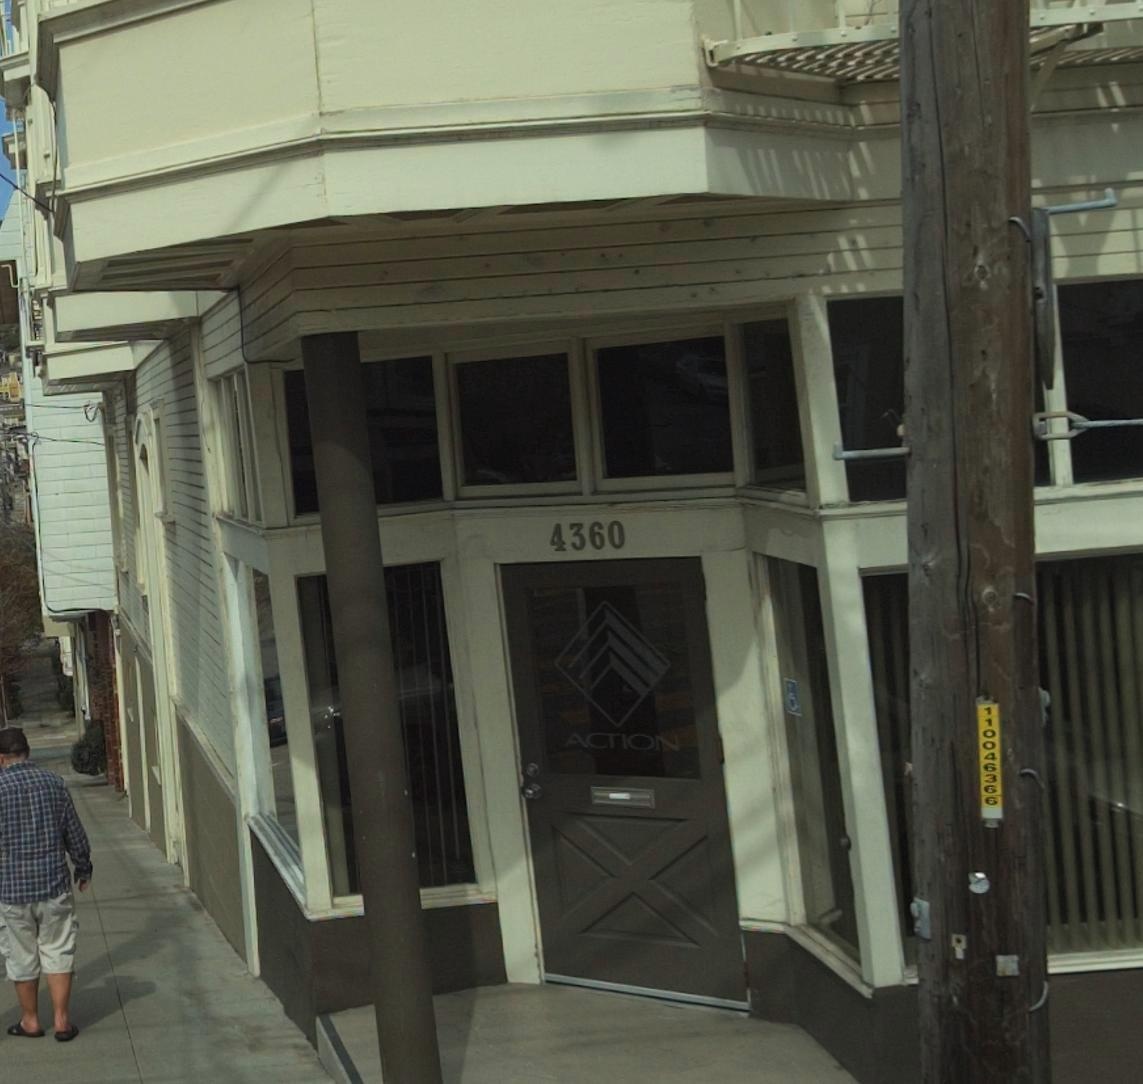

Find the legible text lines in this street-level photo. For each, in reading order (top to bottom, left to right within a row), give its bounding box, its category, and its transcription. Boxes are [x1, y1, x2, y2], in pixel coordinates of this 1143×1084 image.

[548, 519, 626, 553] StreetNumber: 4360
[560, 731, 682, 753] BusinessName: ACTION
[982, 705, 999, 806] None: 110046366